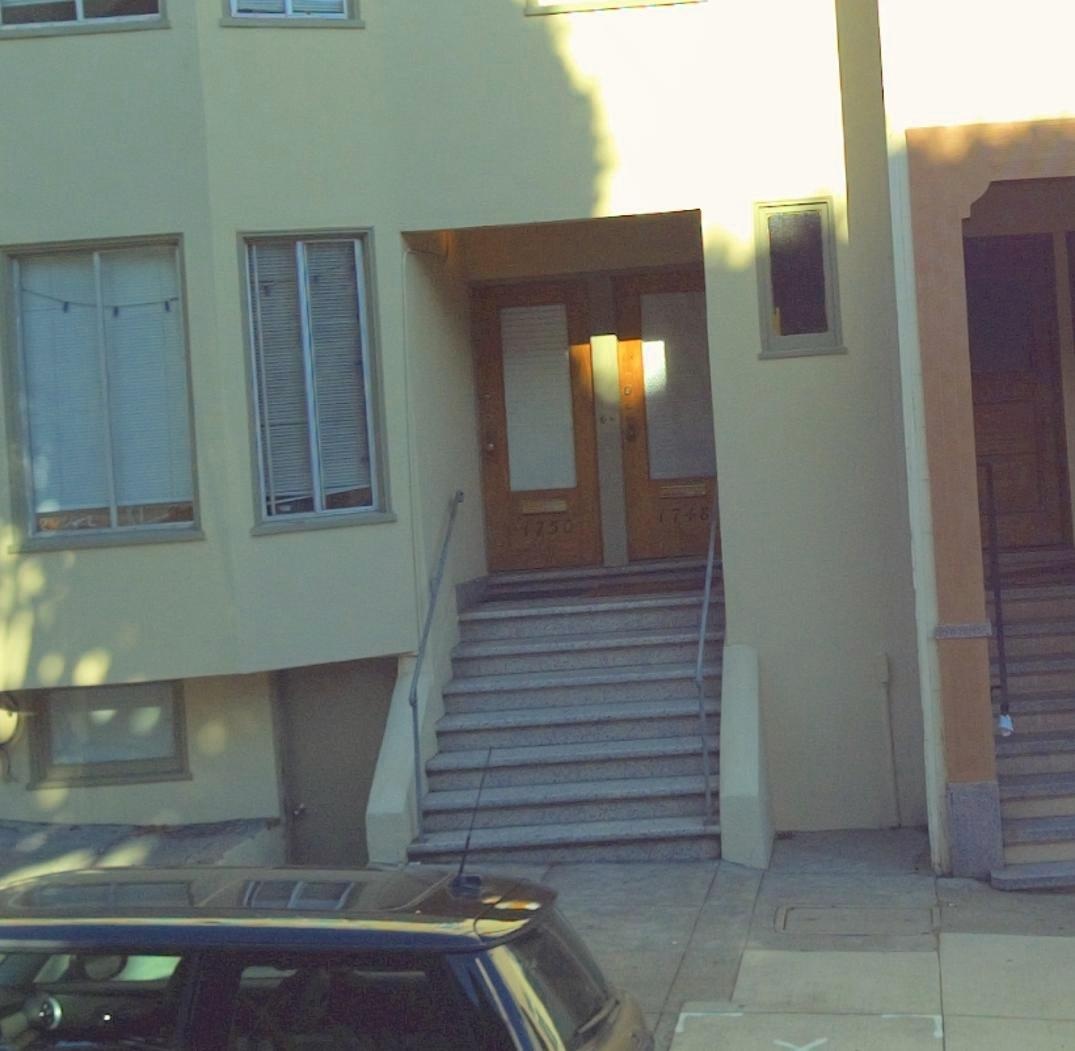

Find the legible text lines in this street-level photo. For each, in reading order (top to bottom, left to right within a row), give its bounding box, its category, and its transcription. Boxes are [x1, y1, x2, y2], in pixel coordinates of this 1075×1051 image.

[656, 504, 711, 524] StreetNumber: 1748
[521, 518, 575, 539] StreetNumber: 1750